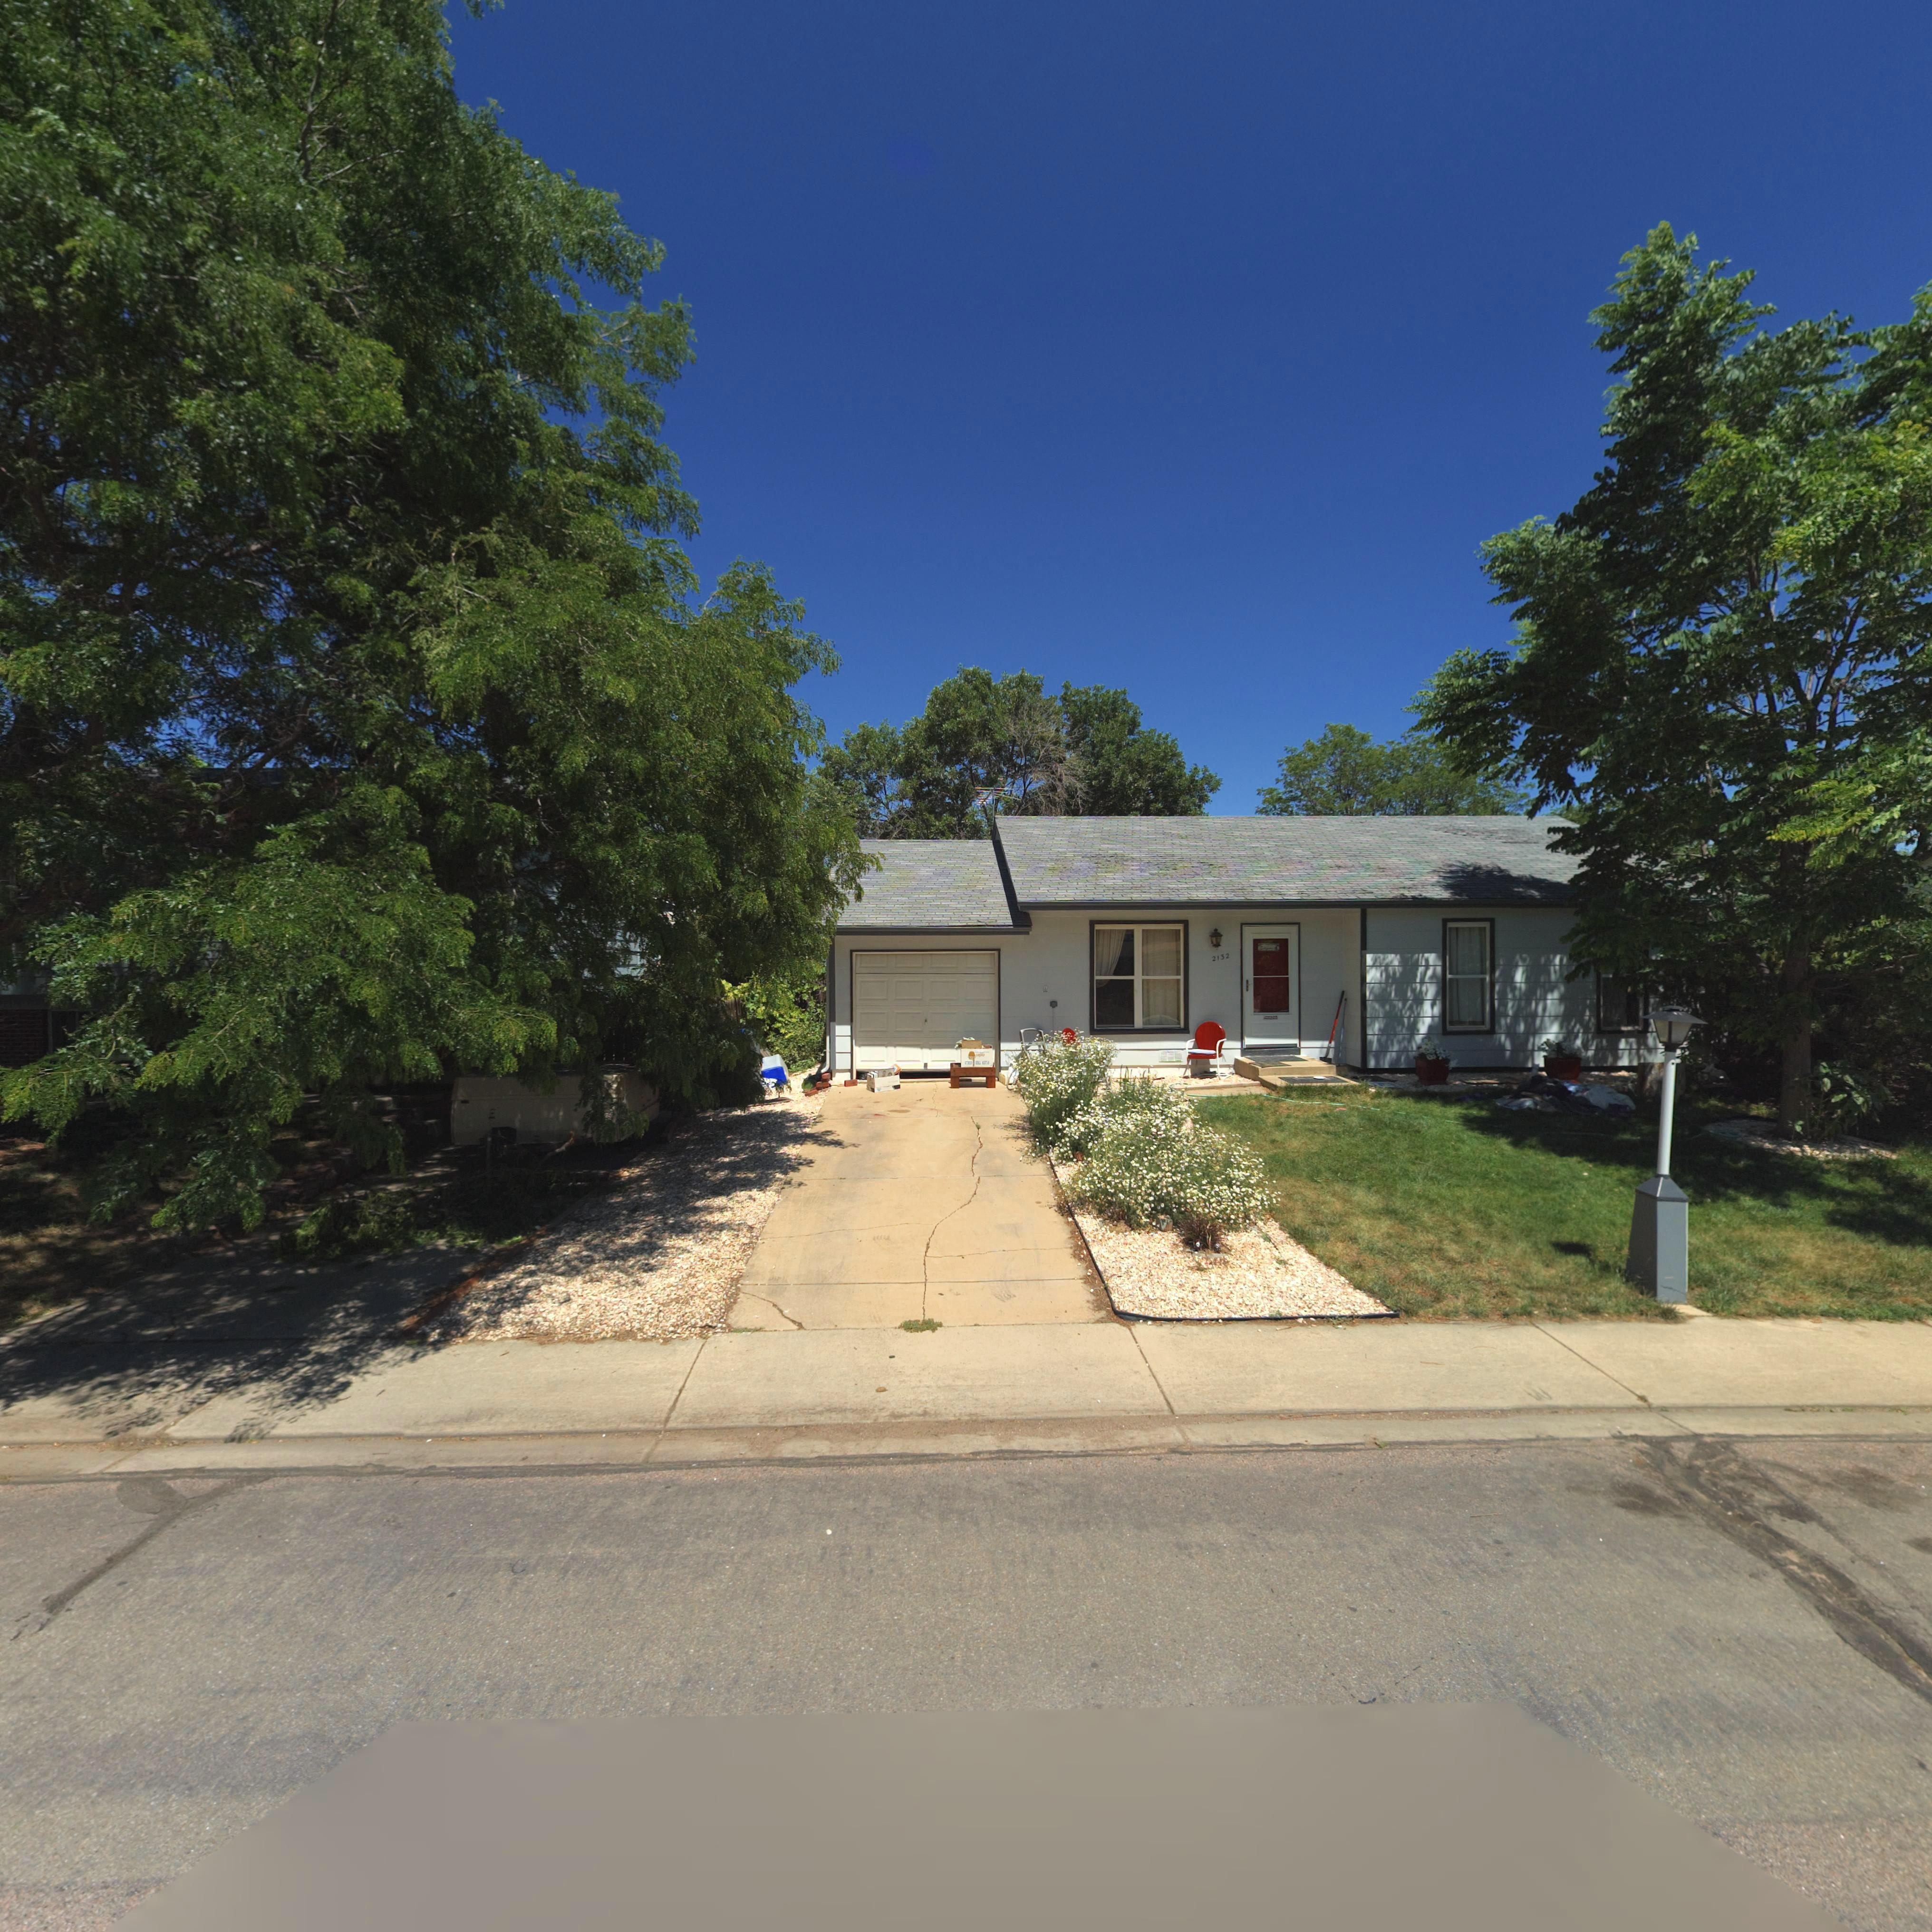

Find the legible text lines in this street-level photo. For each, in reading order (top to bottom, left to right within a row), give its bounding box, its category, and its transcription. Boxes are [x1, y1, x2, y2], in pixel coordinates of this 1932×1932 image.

[1211, 952, 1230, 962] StreetNumber: 2132